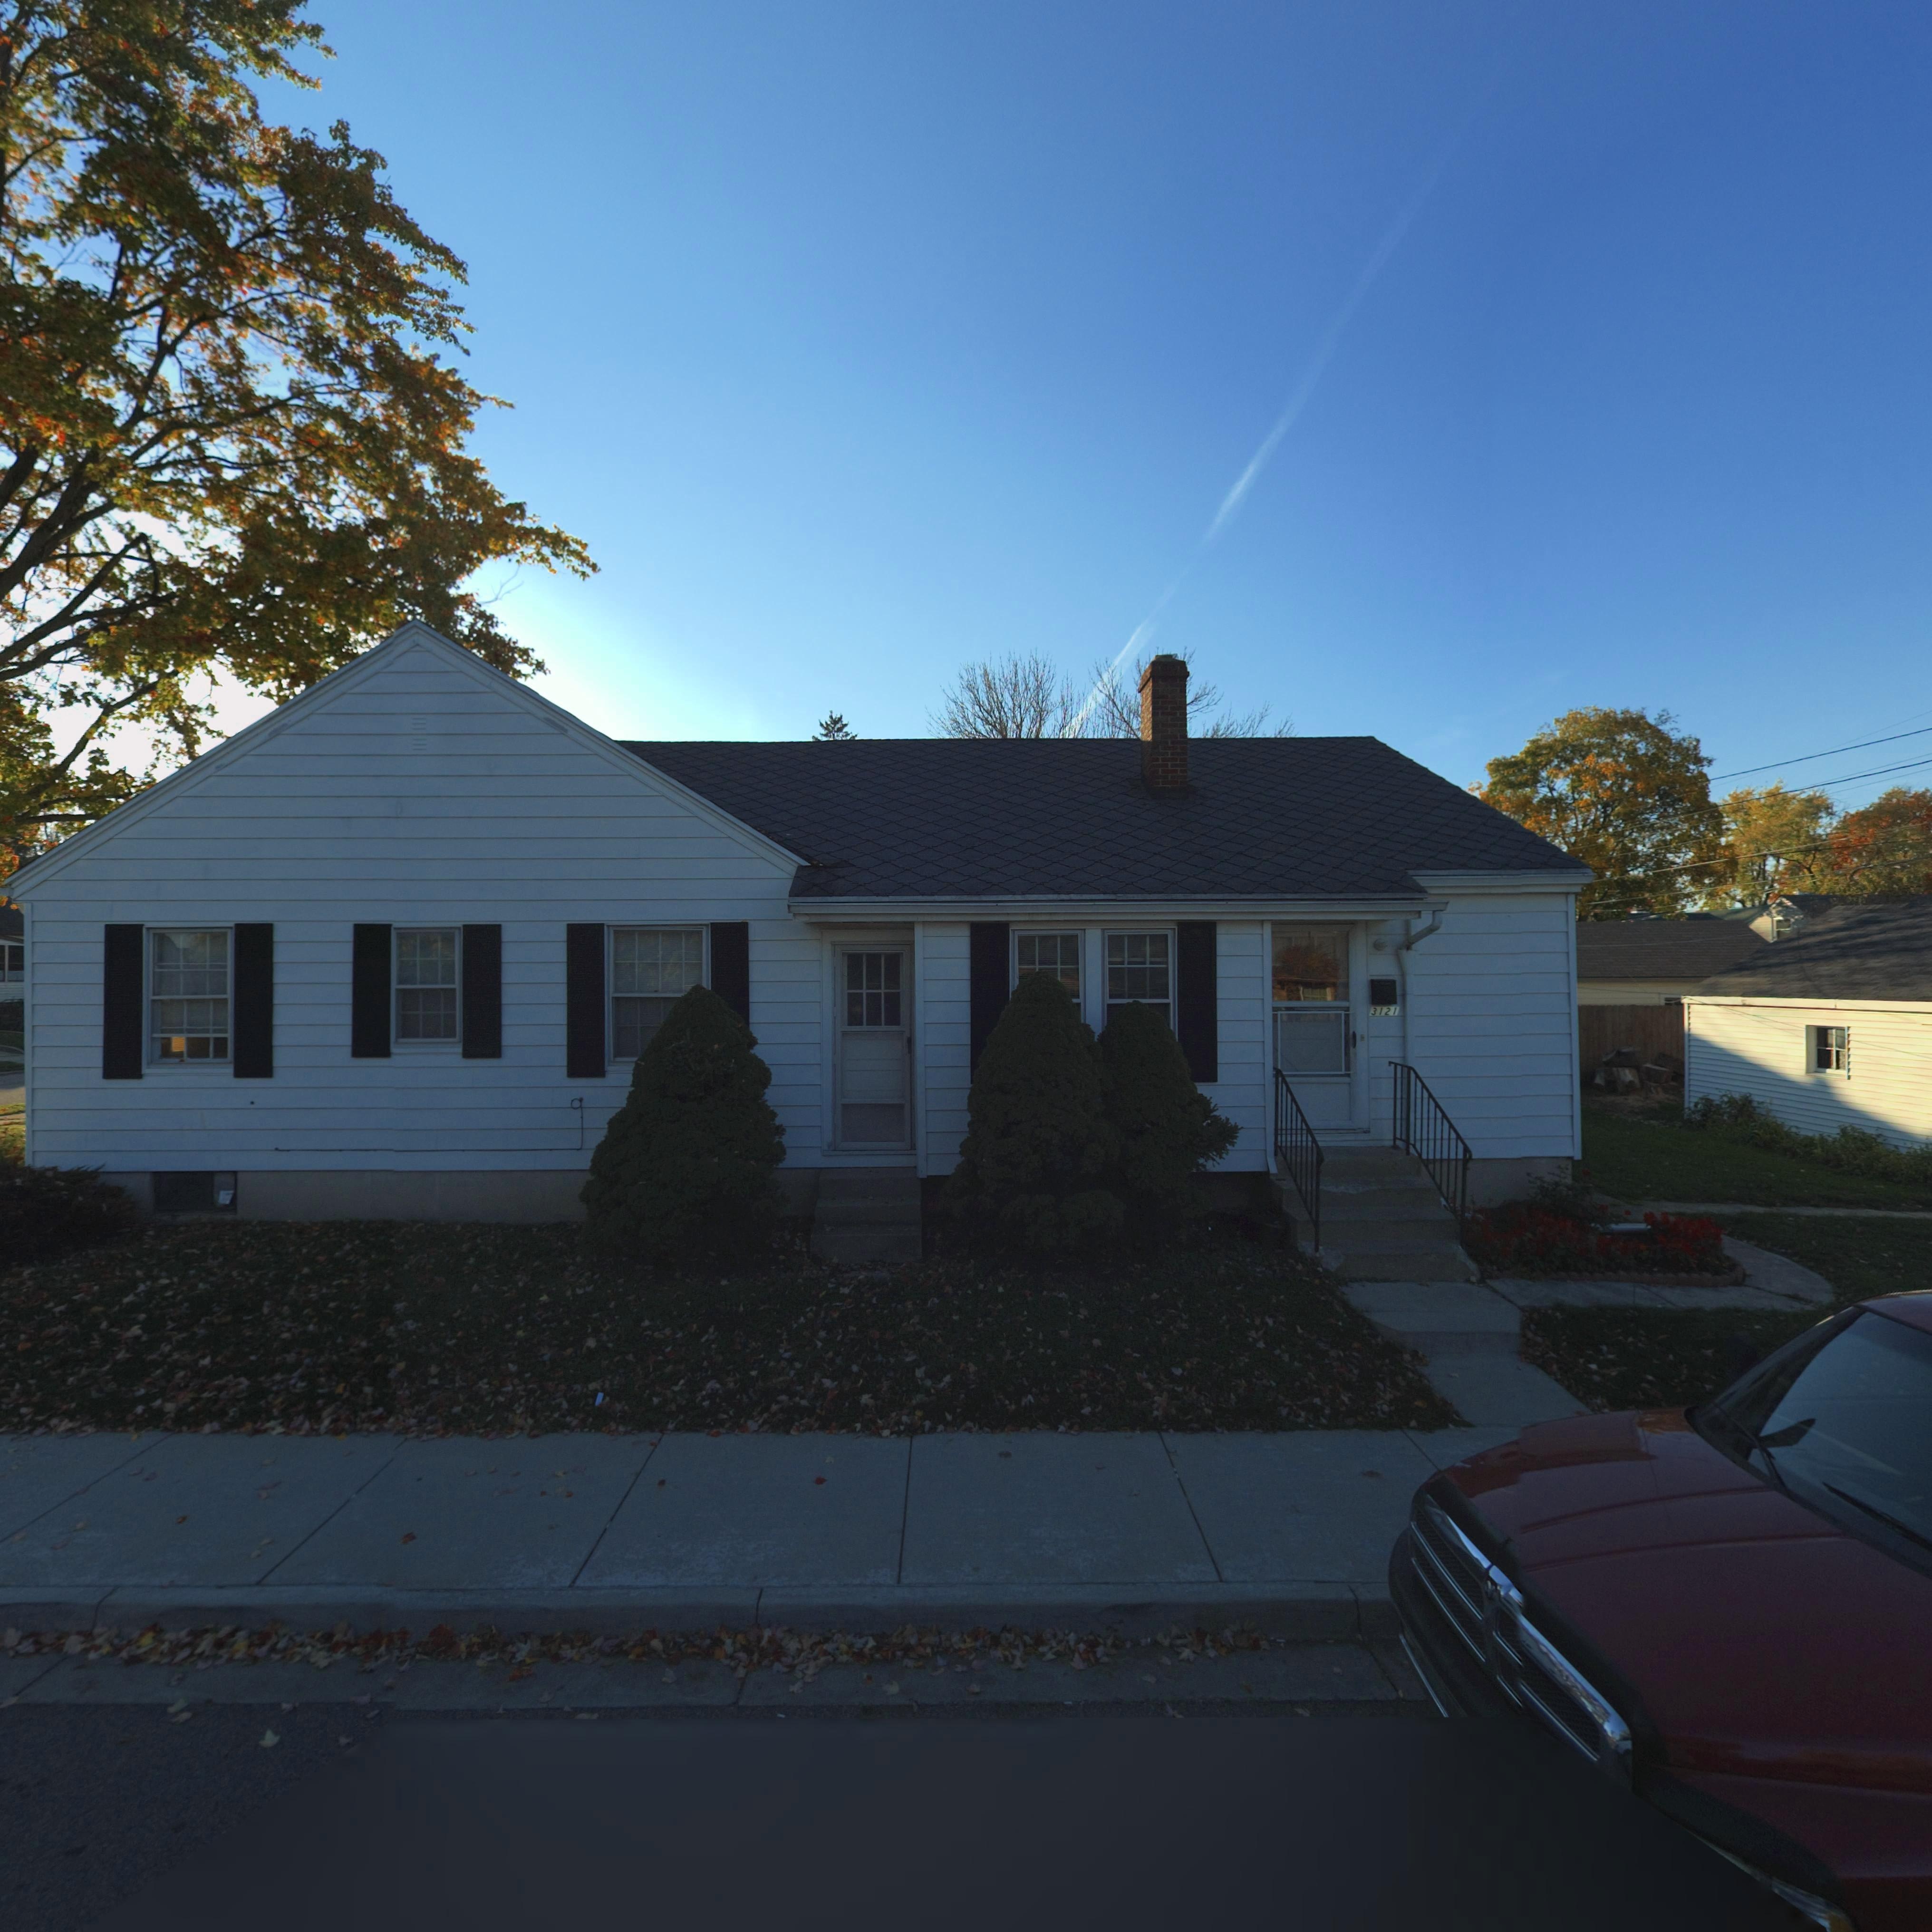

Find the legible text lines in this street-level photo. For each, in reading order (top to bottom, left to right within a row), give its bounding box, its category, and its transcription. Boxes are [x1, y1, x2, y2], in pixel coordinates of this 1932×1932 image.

[1370, 1006, 1398, 1016] StreetNumber: 3121